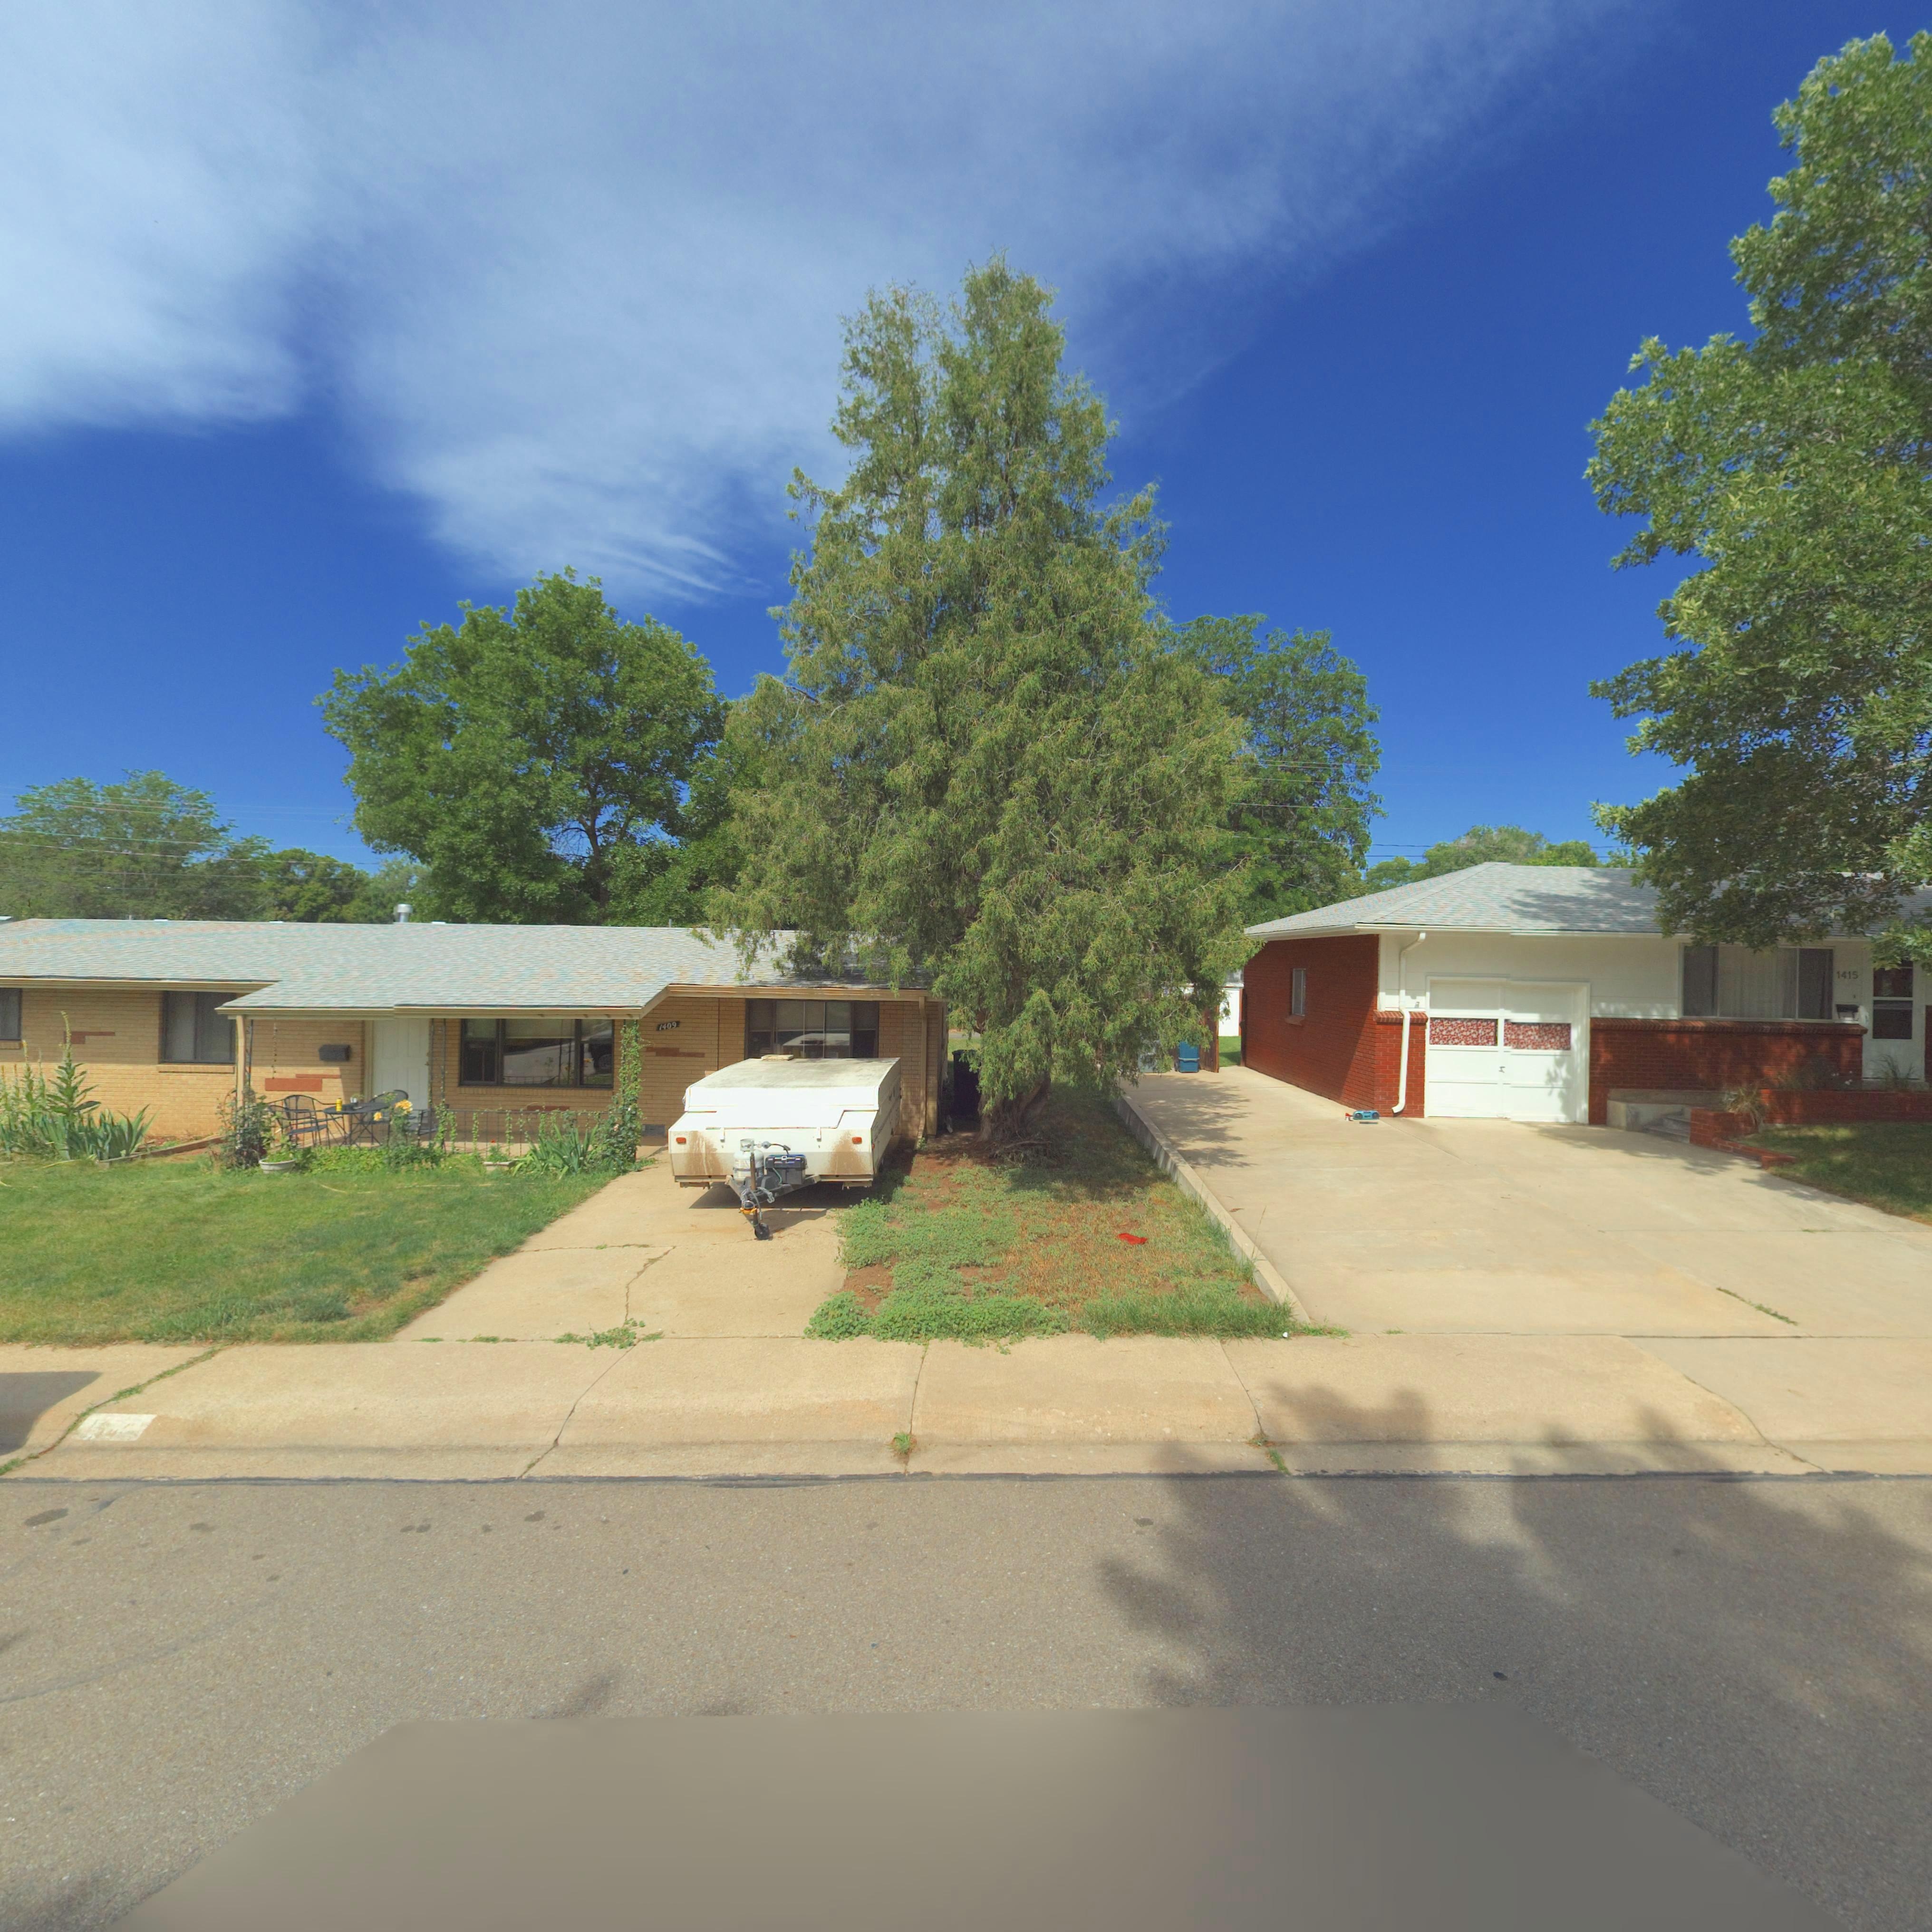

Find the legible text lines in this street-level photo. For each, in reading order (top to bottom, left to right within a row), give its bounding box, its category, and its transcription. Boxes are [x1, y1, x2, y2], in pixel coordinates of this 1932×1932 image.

[1835, 970, 1859, 980] StreetNumber: 1415
[659, 1021, 676, 1031] StreetNumber: 1409